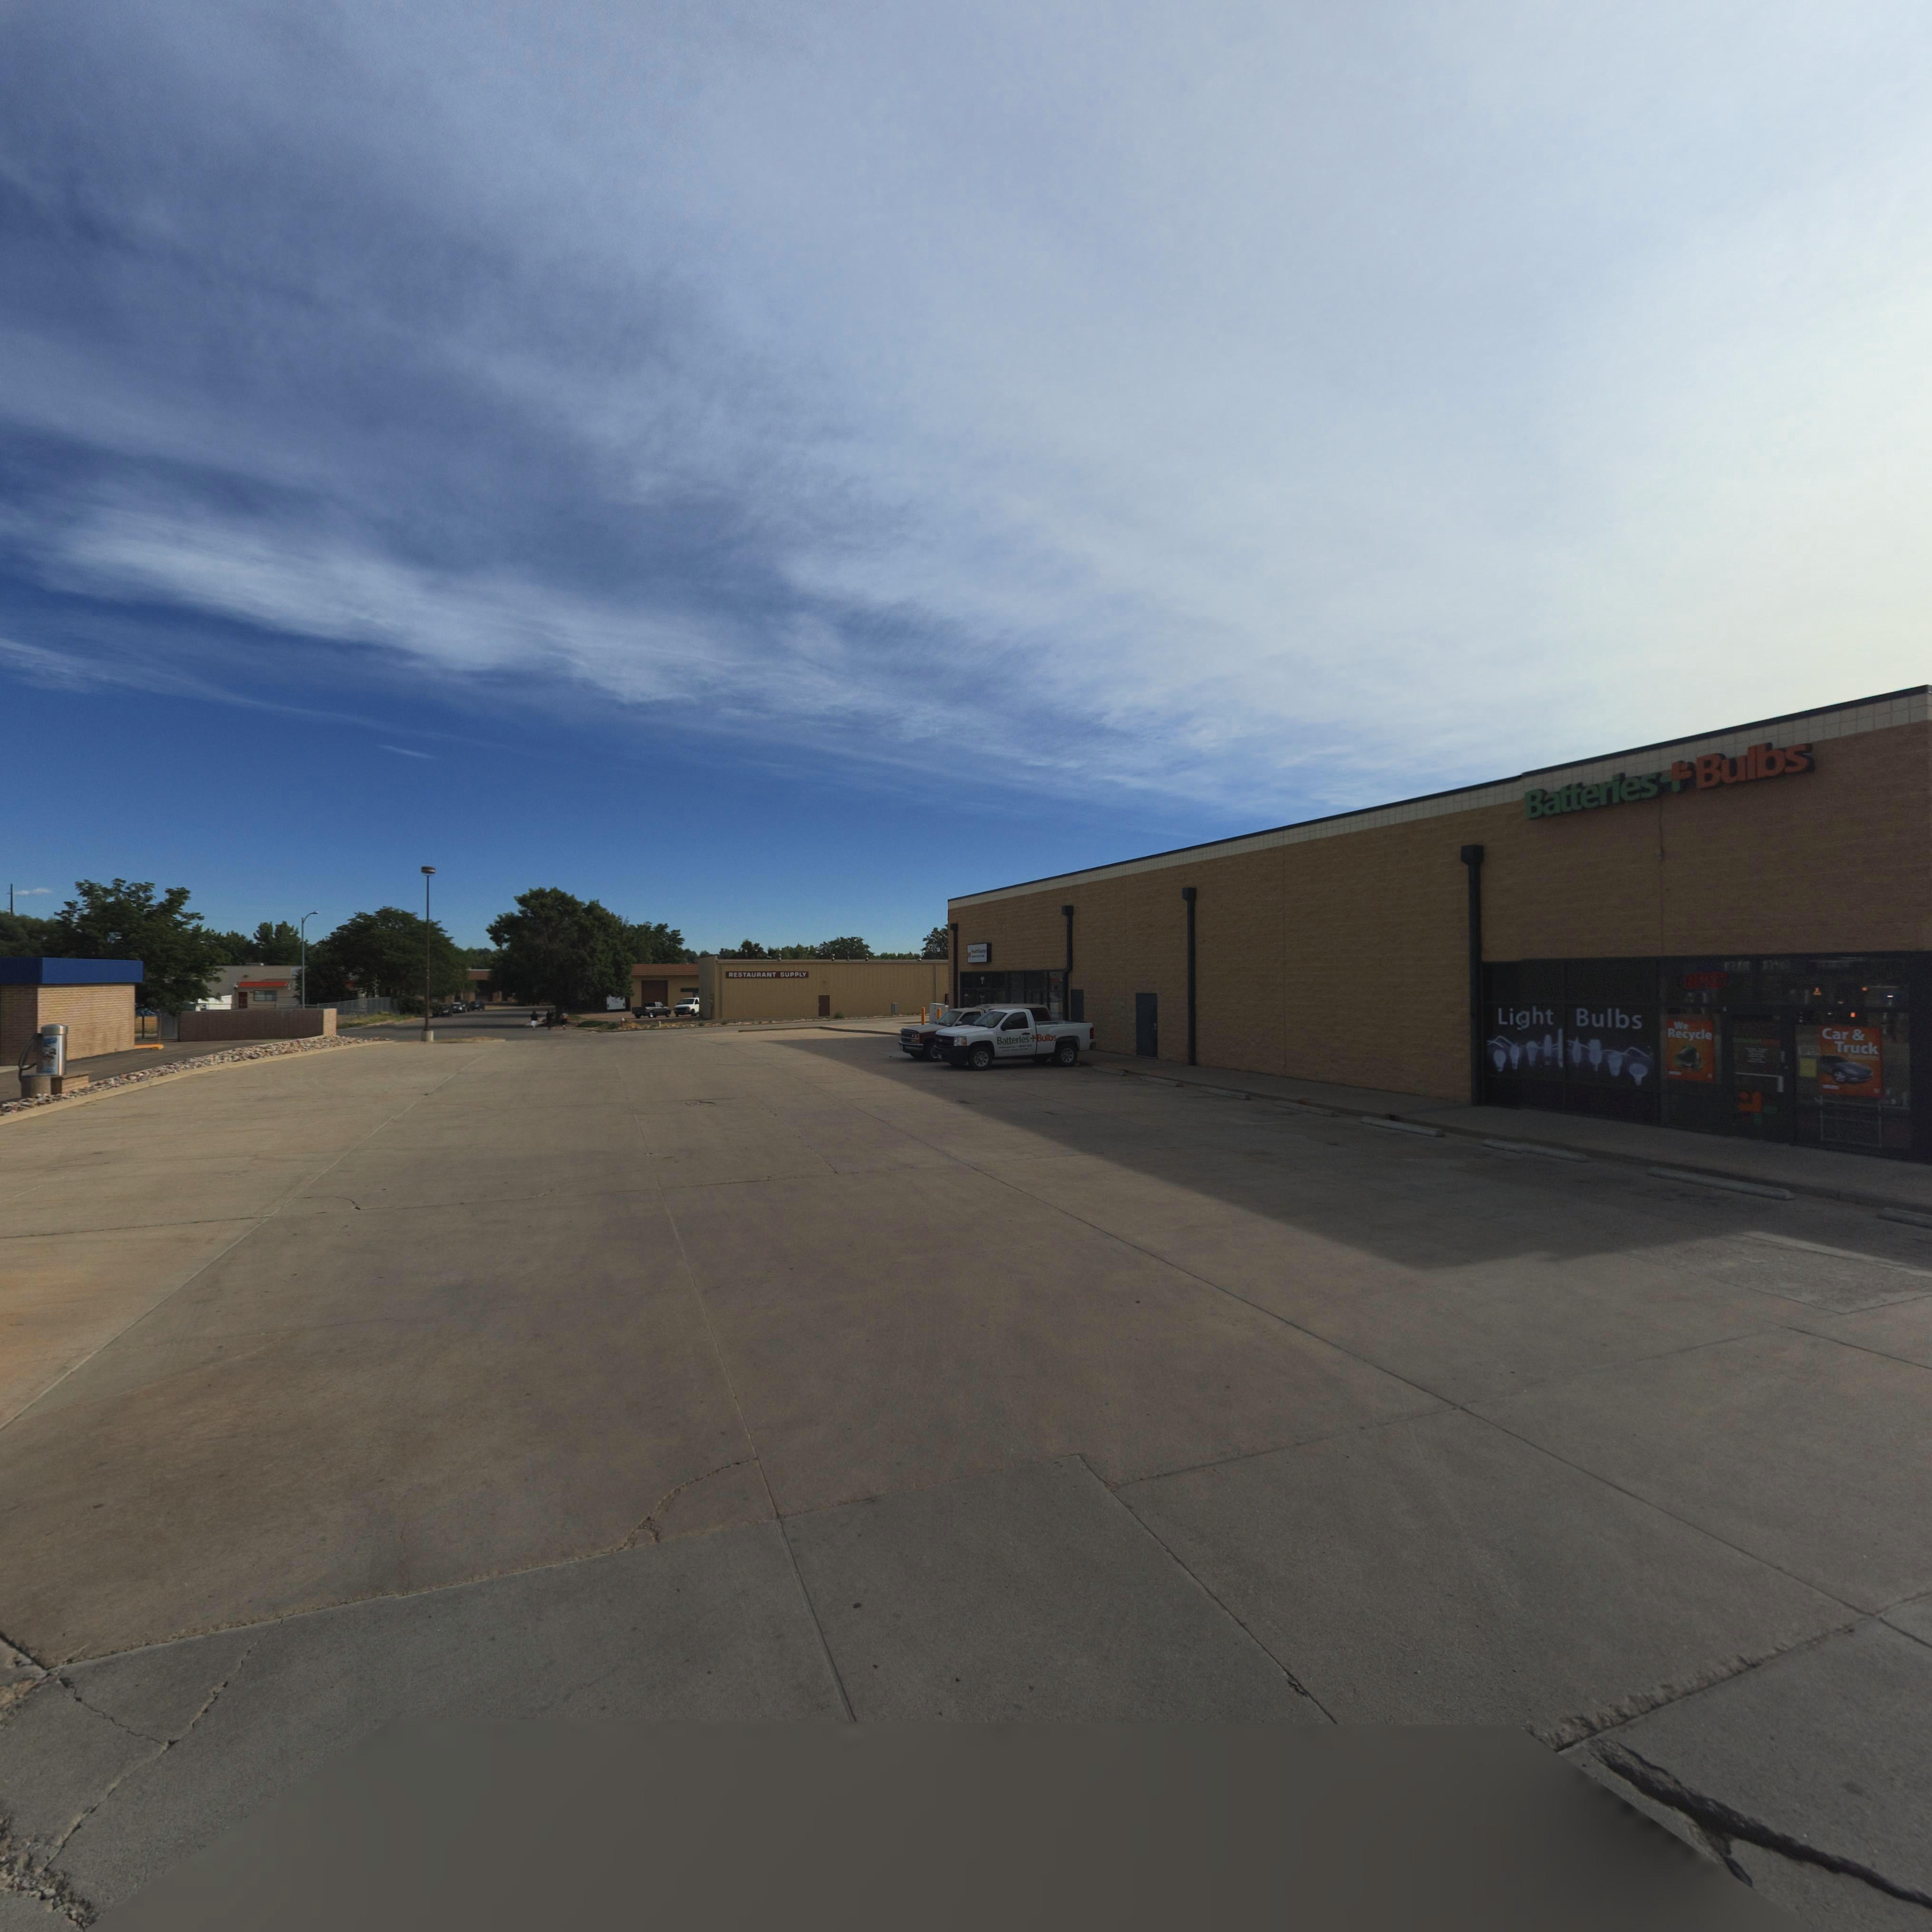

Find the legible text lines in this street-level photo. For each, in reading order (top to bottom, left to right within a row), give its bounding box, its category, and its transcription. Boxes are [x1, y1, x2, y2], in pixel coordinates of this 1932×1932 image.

[1523, 743, 1808, 820] BusinessName: Batteries * Bulbs
[1668, 1029, 1711, 1041] BusinessName: Recycle